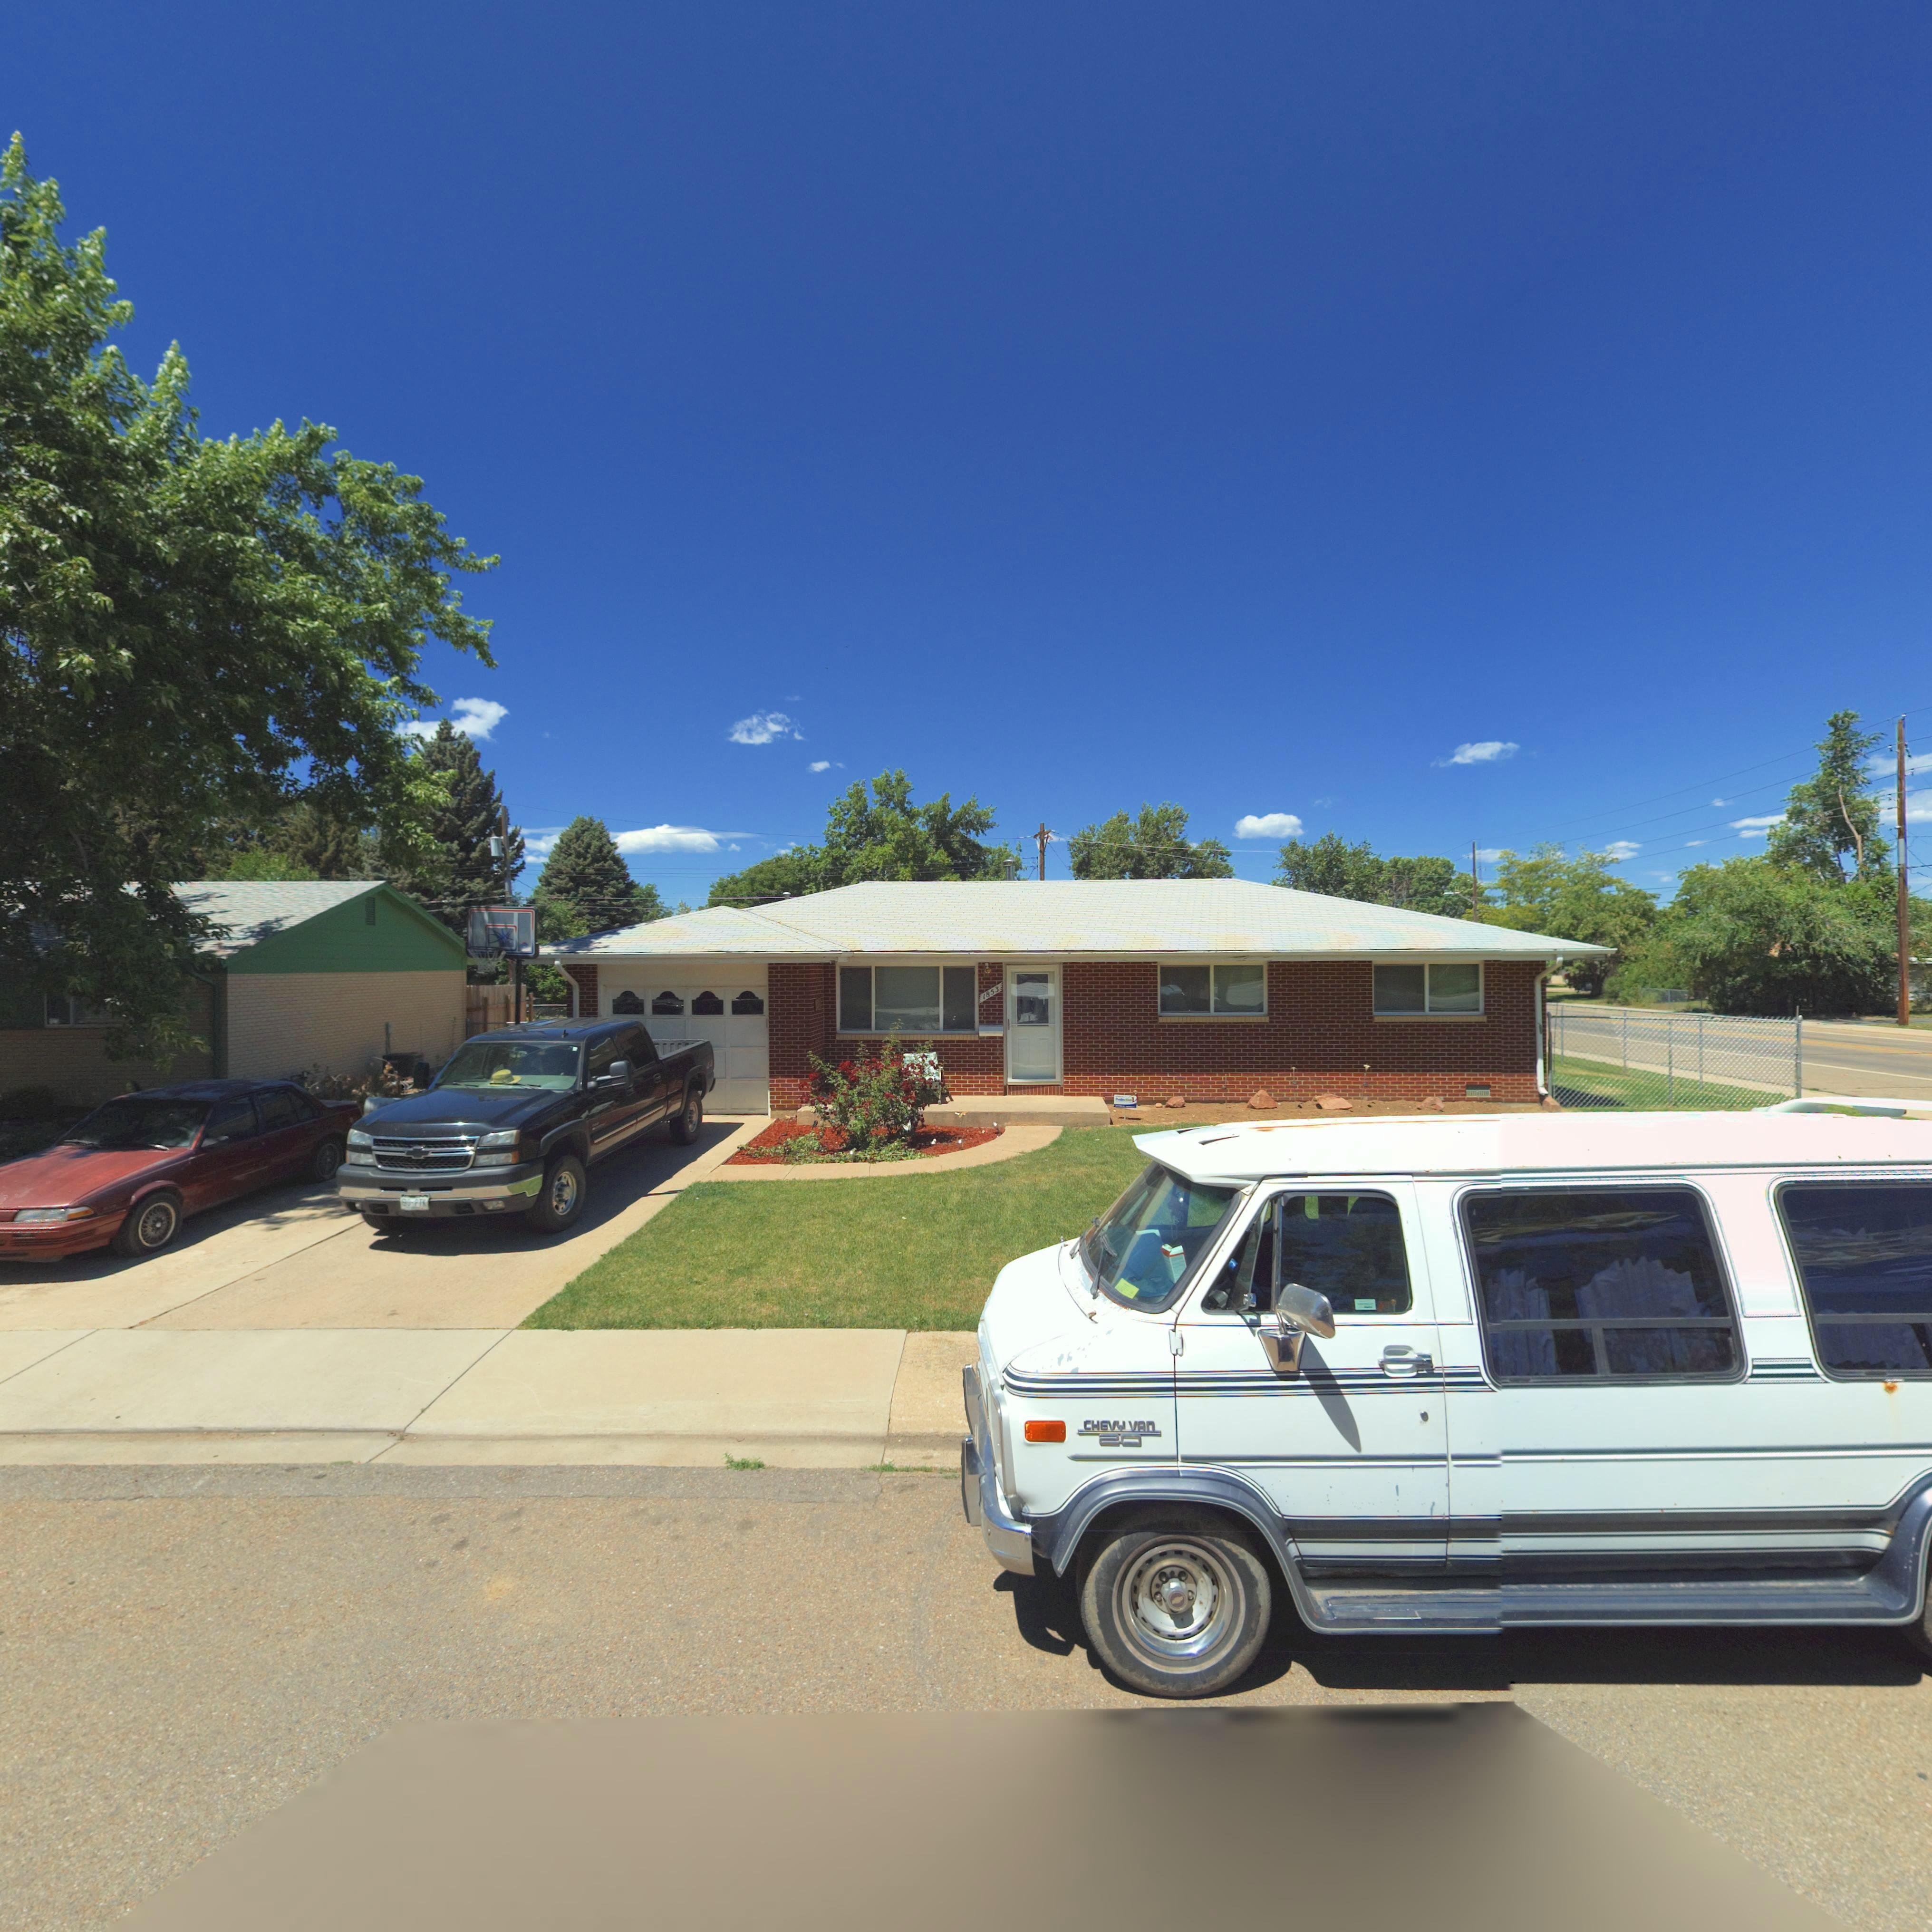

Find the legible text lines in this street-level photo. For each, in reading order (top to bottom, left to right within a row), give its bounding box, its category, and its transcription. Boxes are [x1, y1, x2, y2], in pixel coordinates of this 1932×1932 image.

[983, 986, 999, 1000] StreetNumber: 1853